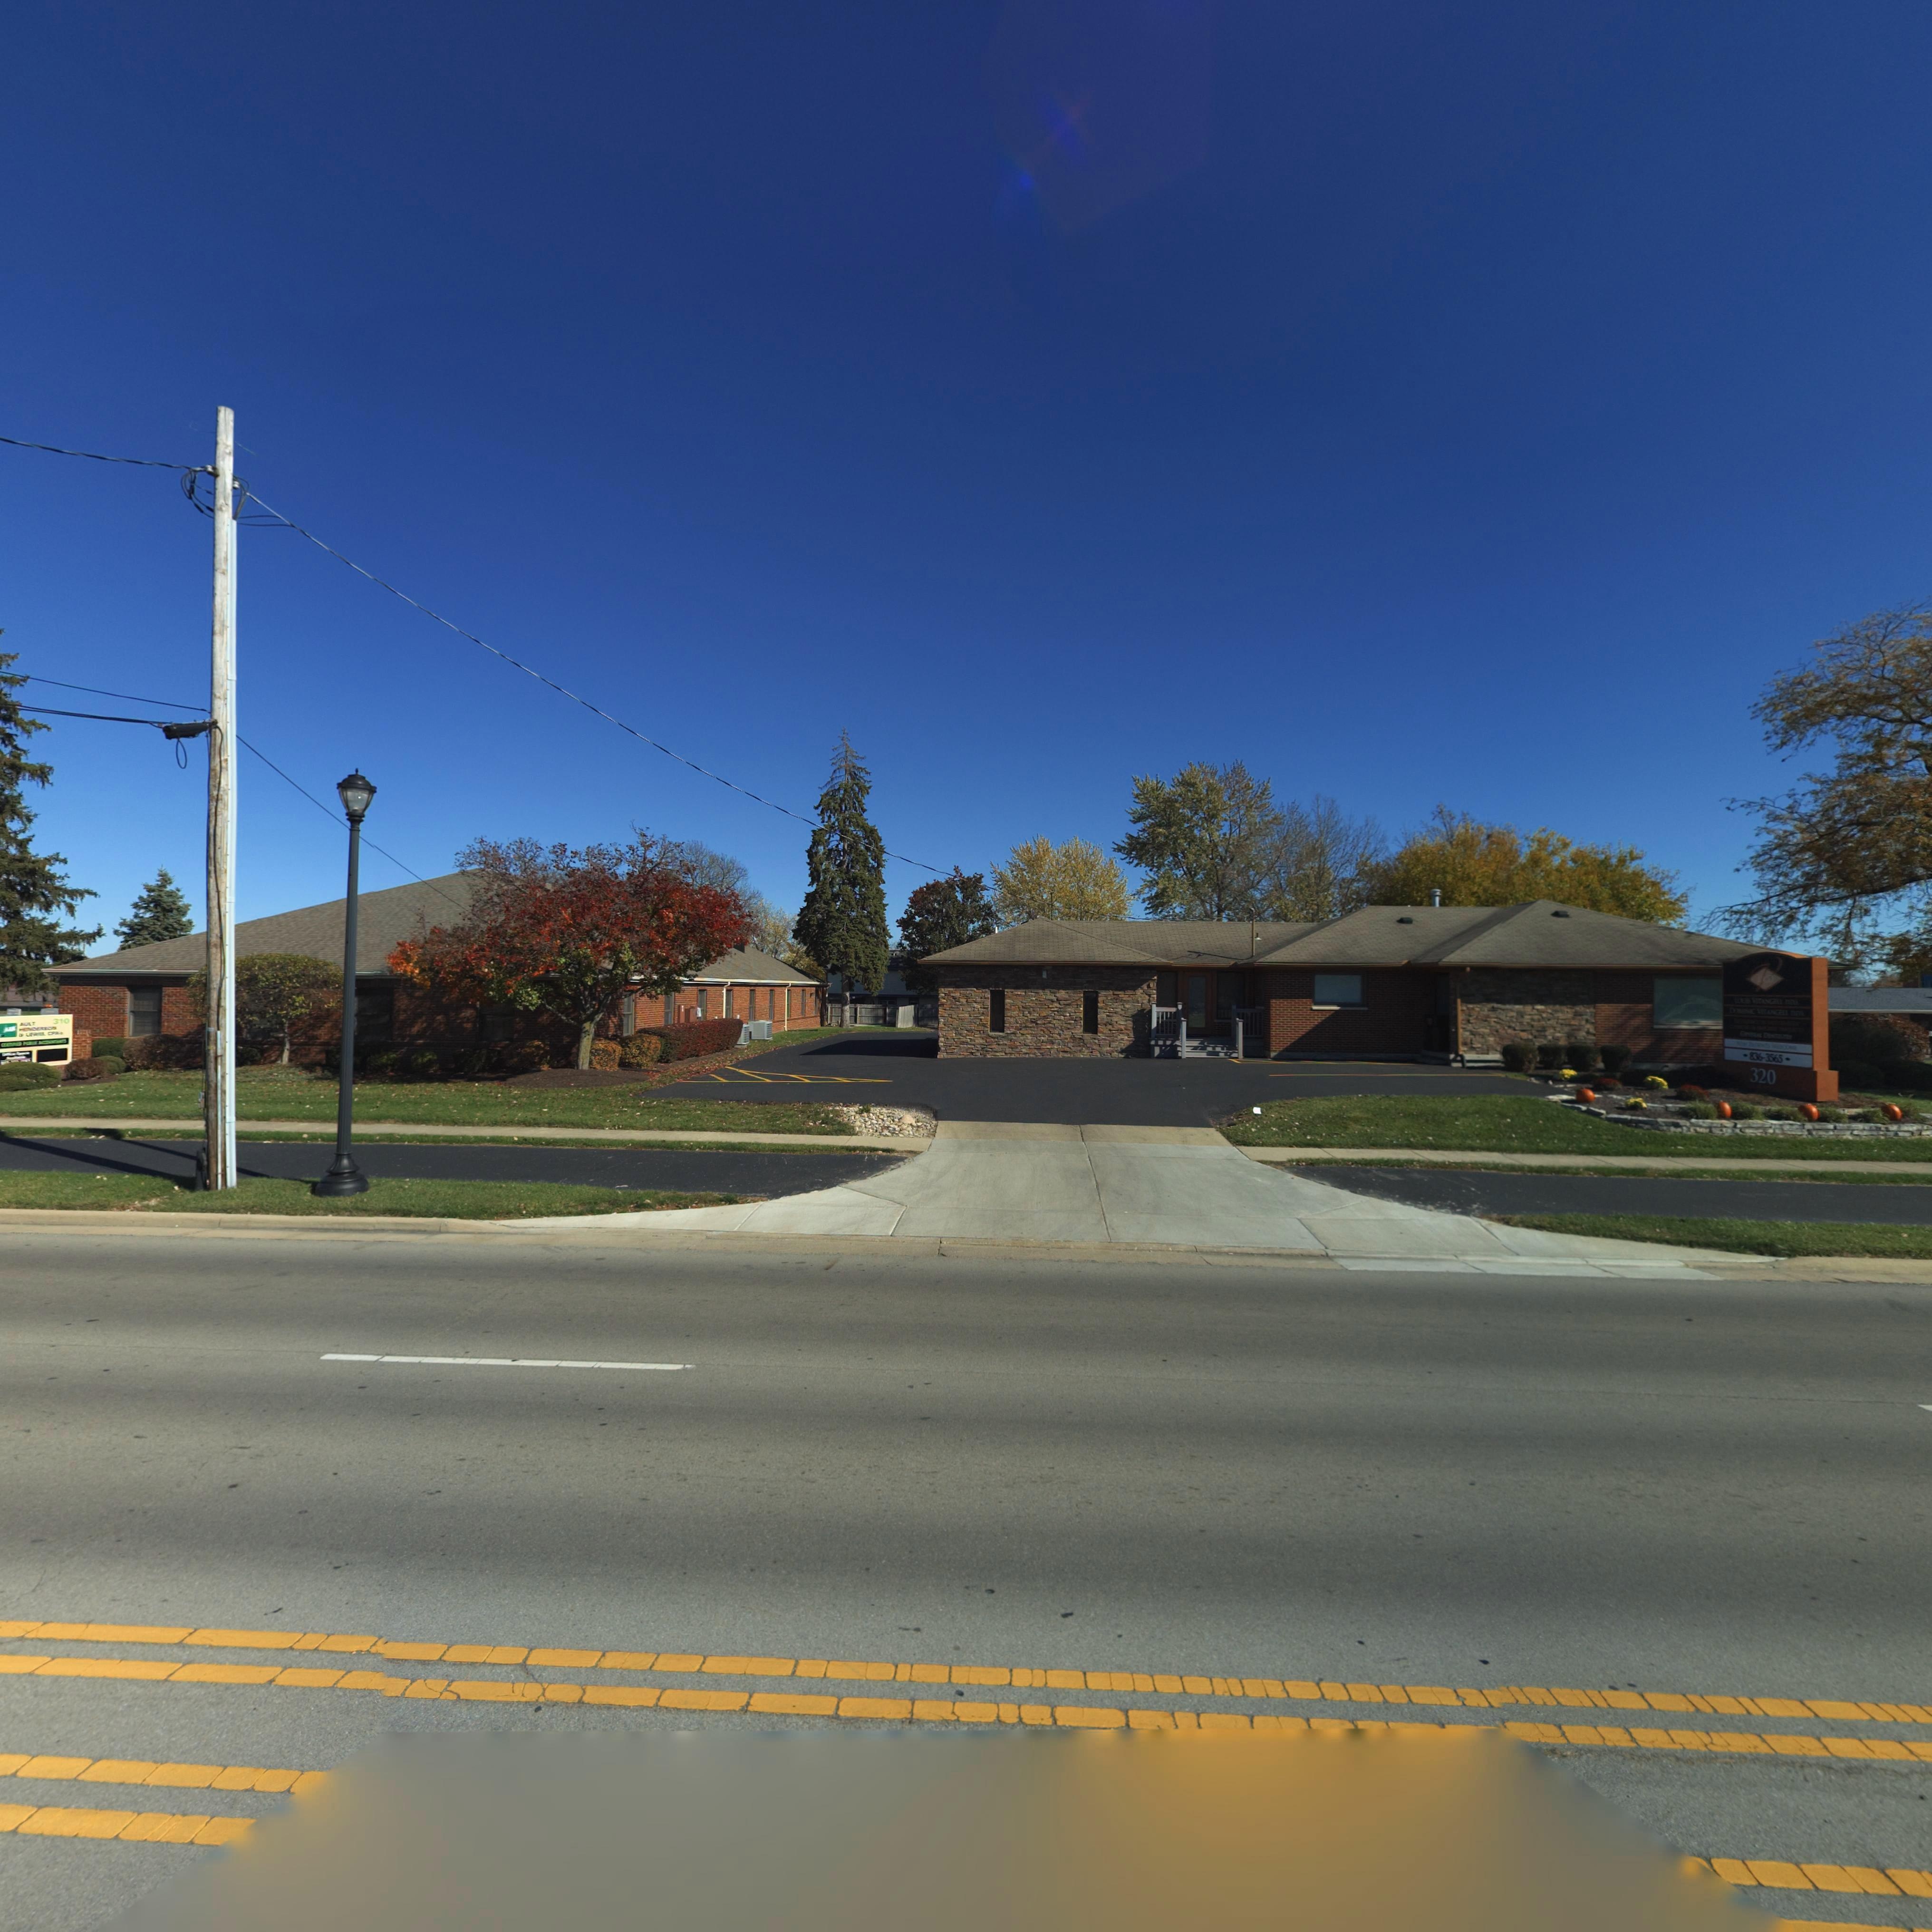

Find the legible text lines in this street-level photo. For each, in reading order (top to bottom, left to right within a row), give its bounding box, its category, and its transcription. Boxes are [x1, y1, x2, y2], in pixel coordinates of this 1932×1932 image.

[1751, 996, 1784, 1006] None: V*TANGELL
[1728, 1006, 1790, 1017] None: DO****C V***NGELL
[28, 1021, 36, 1026] BusinessName: LT
[52, 1017, 70, 1025] StreetNumber: 310
[25, 1032, 30, 1037] BusinessName: L
[1739, 1030, 1746, 1039] None: G
[1762, 1031, 1769, 1040] None: D
[1748, 1051, 1785, 1064] None: 836-3565
[1748, 1066, 1777, 1087] StreetNumber: 320